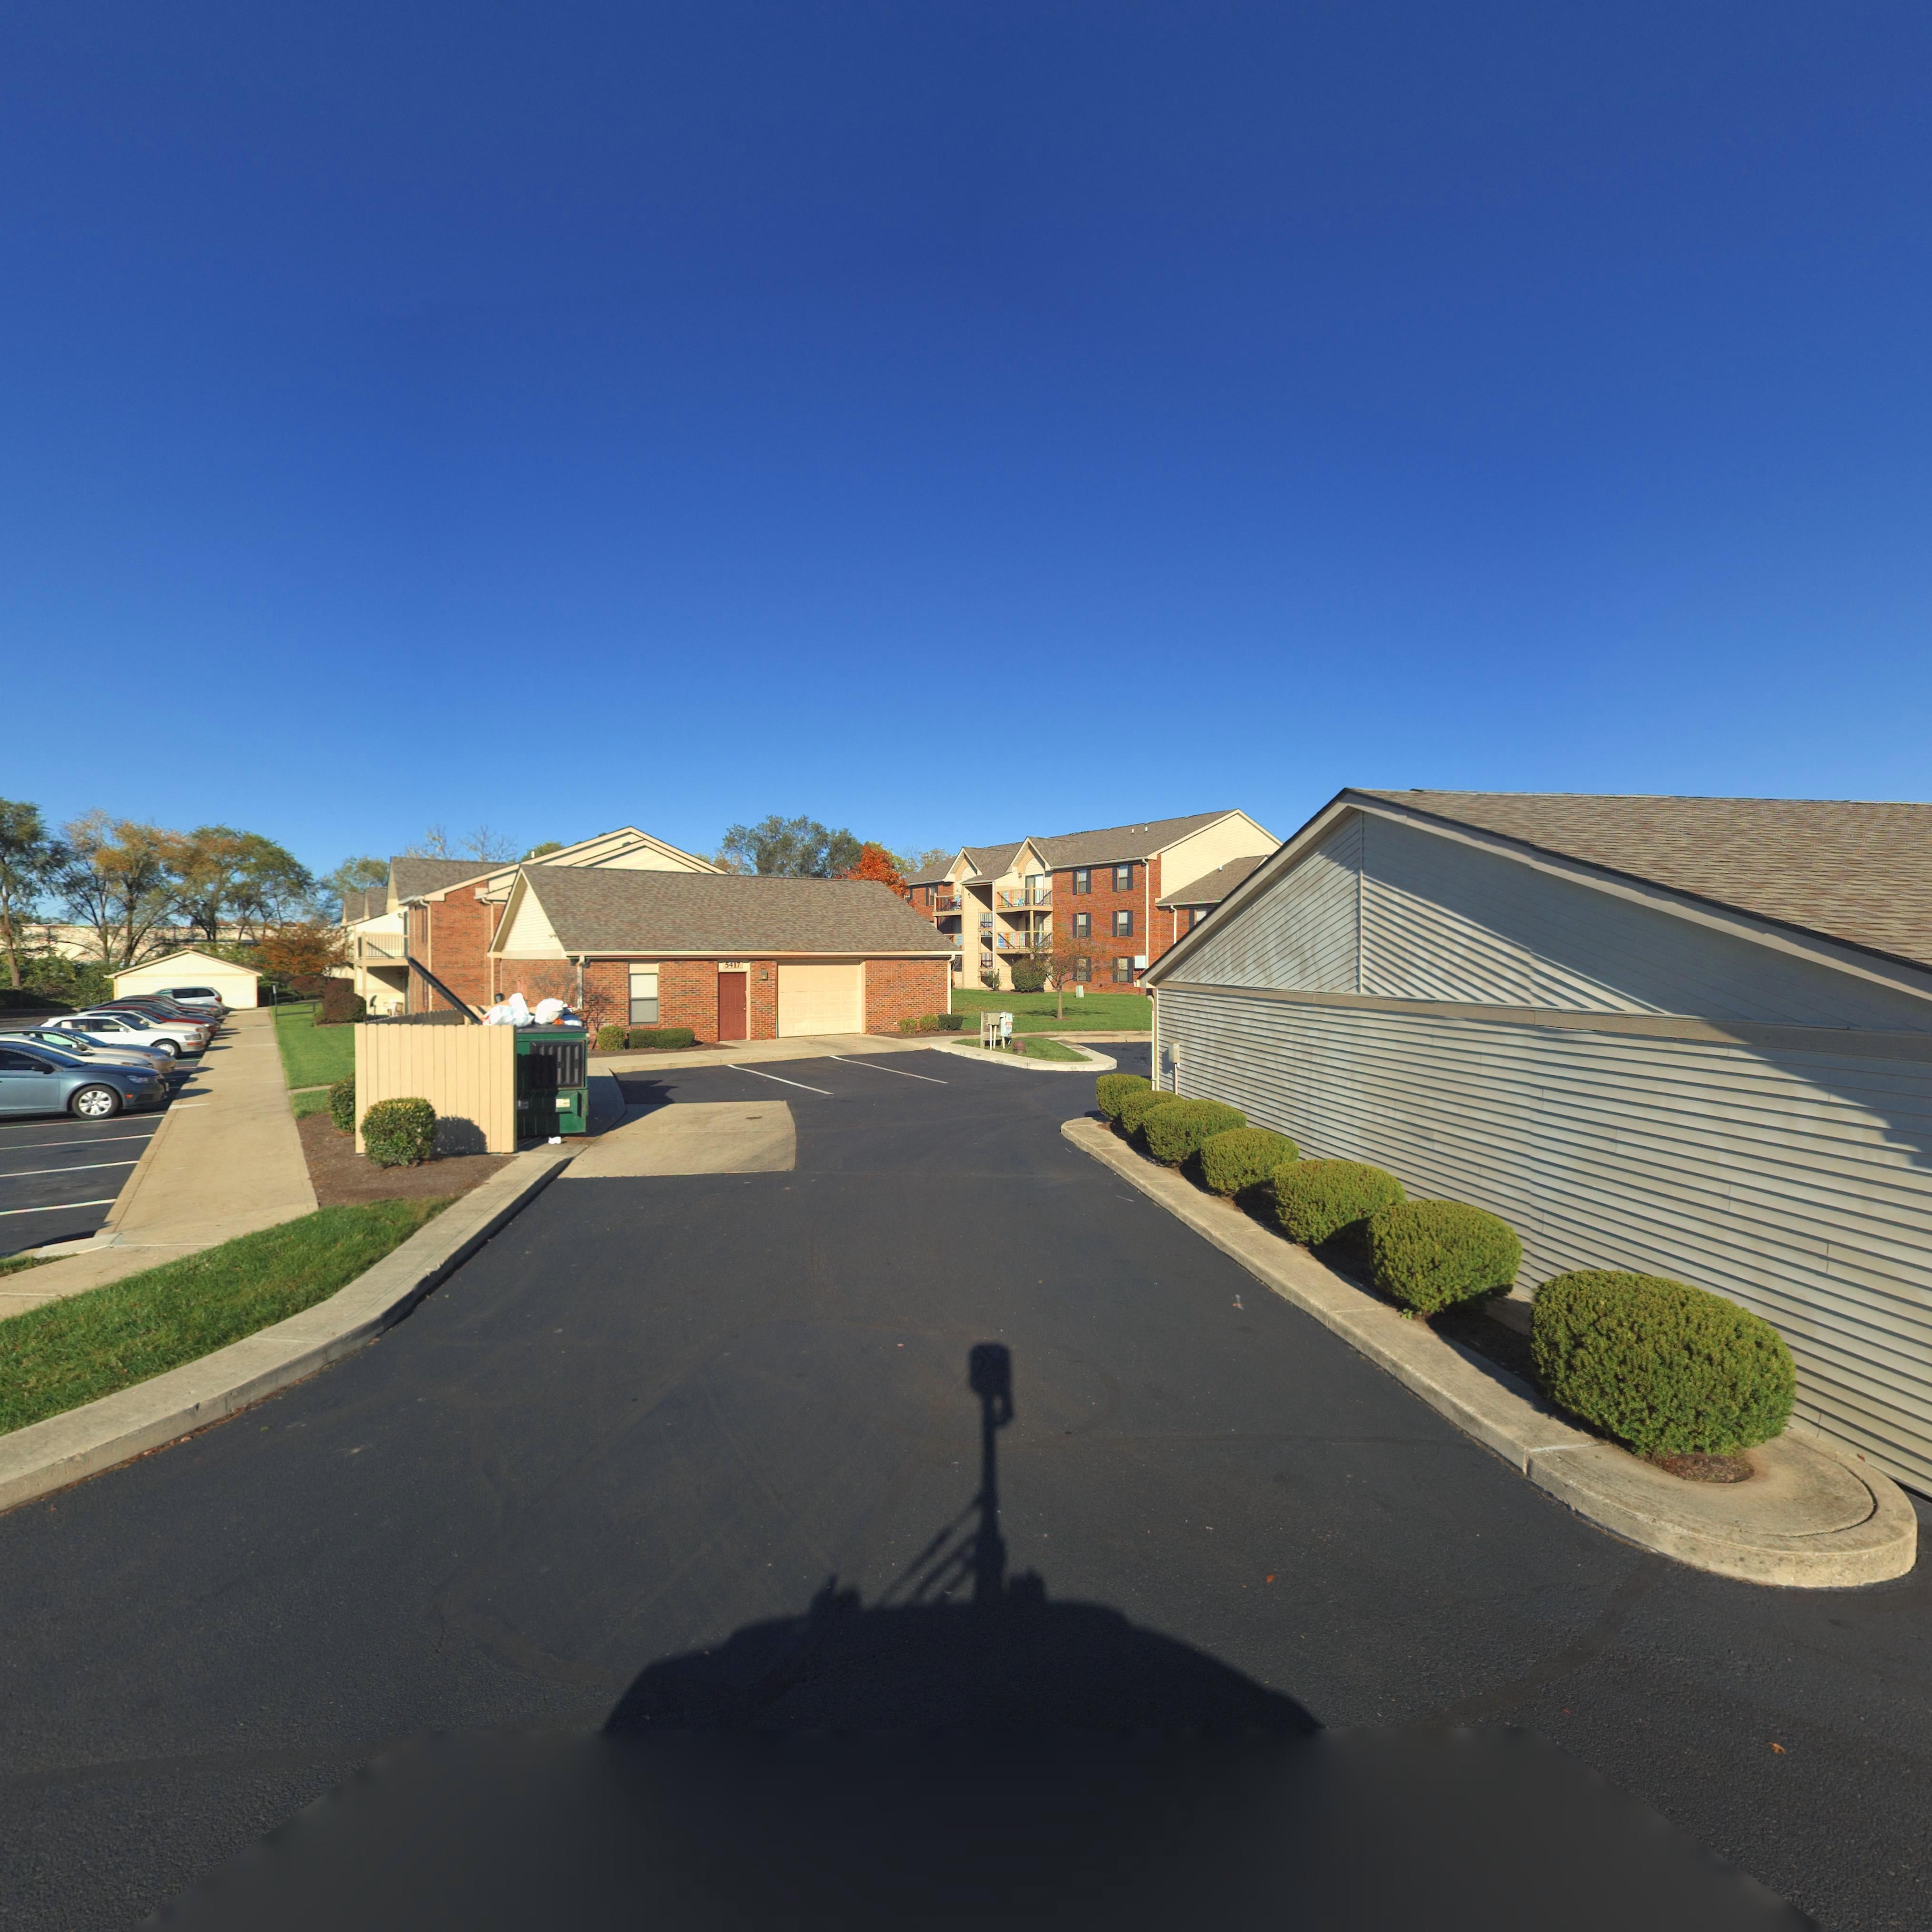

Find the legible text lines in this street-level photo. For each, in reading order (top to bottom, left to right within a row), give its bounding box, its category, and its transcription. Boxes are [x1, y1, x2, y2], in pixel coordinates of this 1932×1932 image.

[724, 961, 741, 968] StreetNumber: 5417